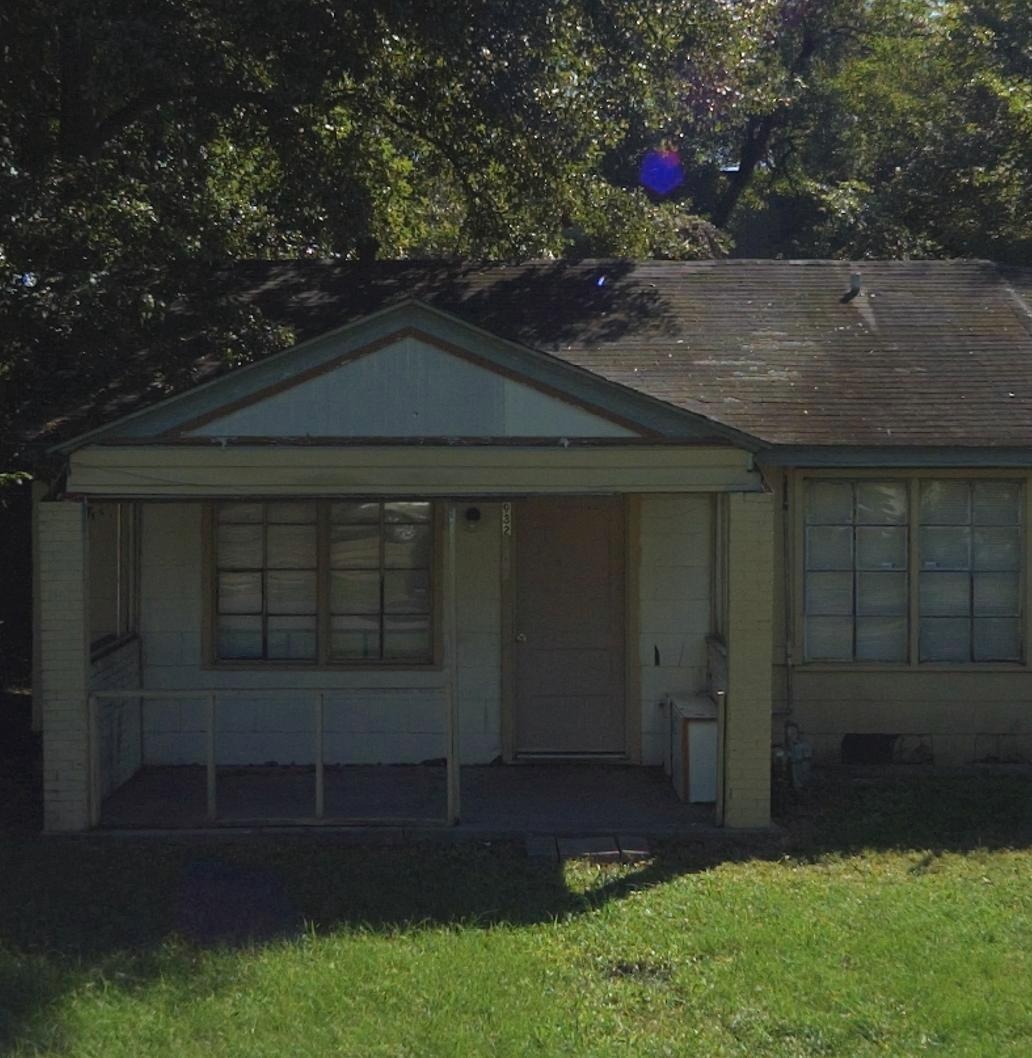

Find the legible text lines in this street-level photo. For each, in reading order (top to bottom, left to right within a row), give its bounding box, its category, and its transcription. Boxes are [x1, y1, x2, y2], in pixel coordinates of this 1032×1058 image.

[502, 503, 511, 536] StreetNumber: 932